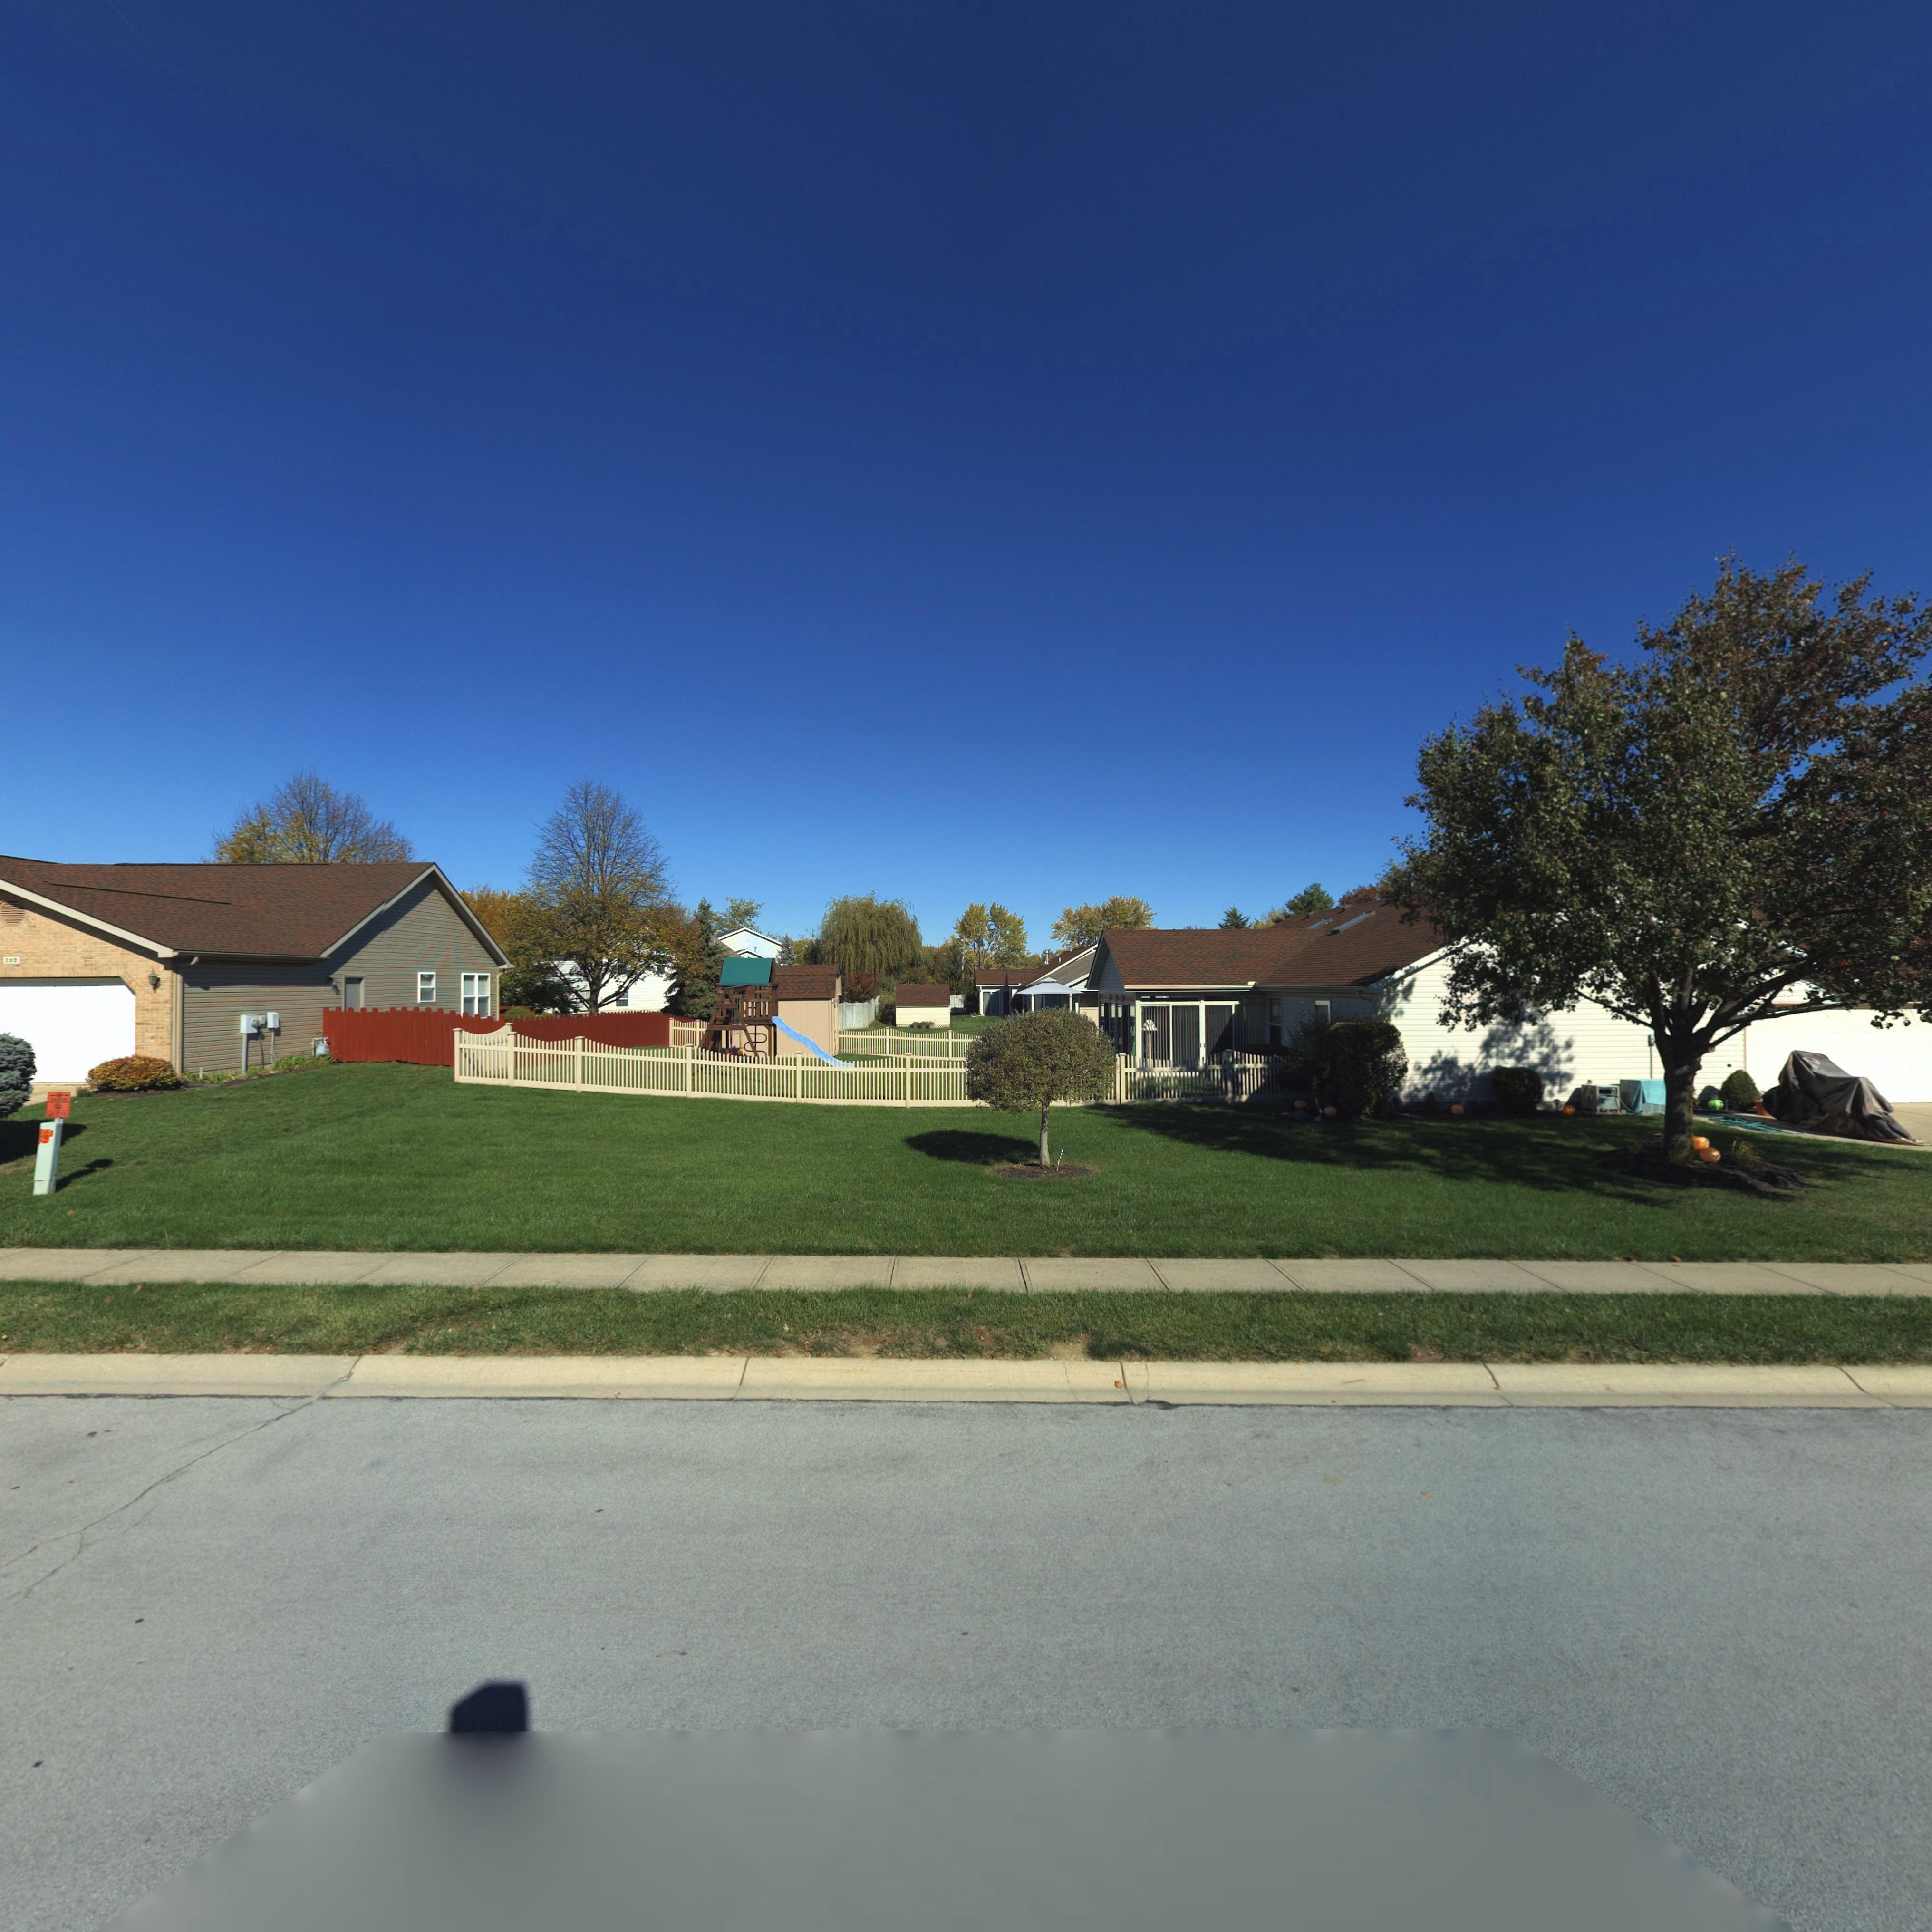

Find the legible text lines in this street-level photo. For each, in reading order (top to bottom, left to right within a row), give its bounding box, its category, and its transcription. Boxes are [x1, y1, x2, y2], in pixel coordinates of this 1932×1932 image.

[5, 957, 18, 963] StreetNumber: 102